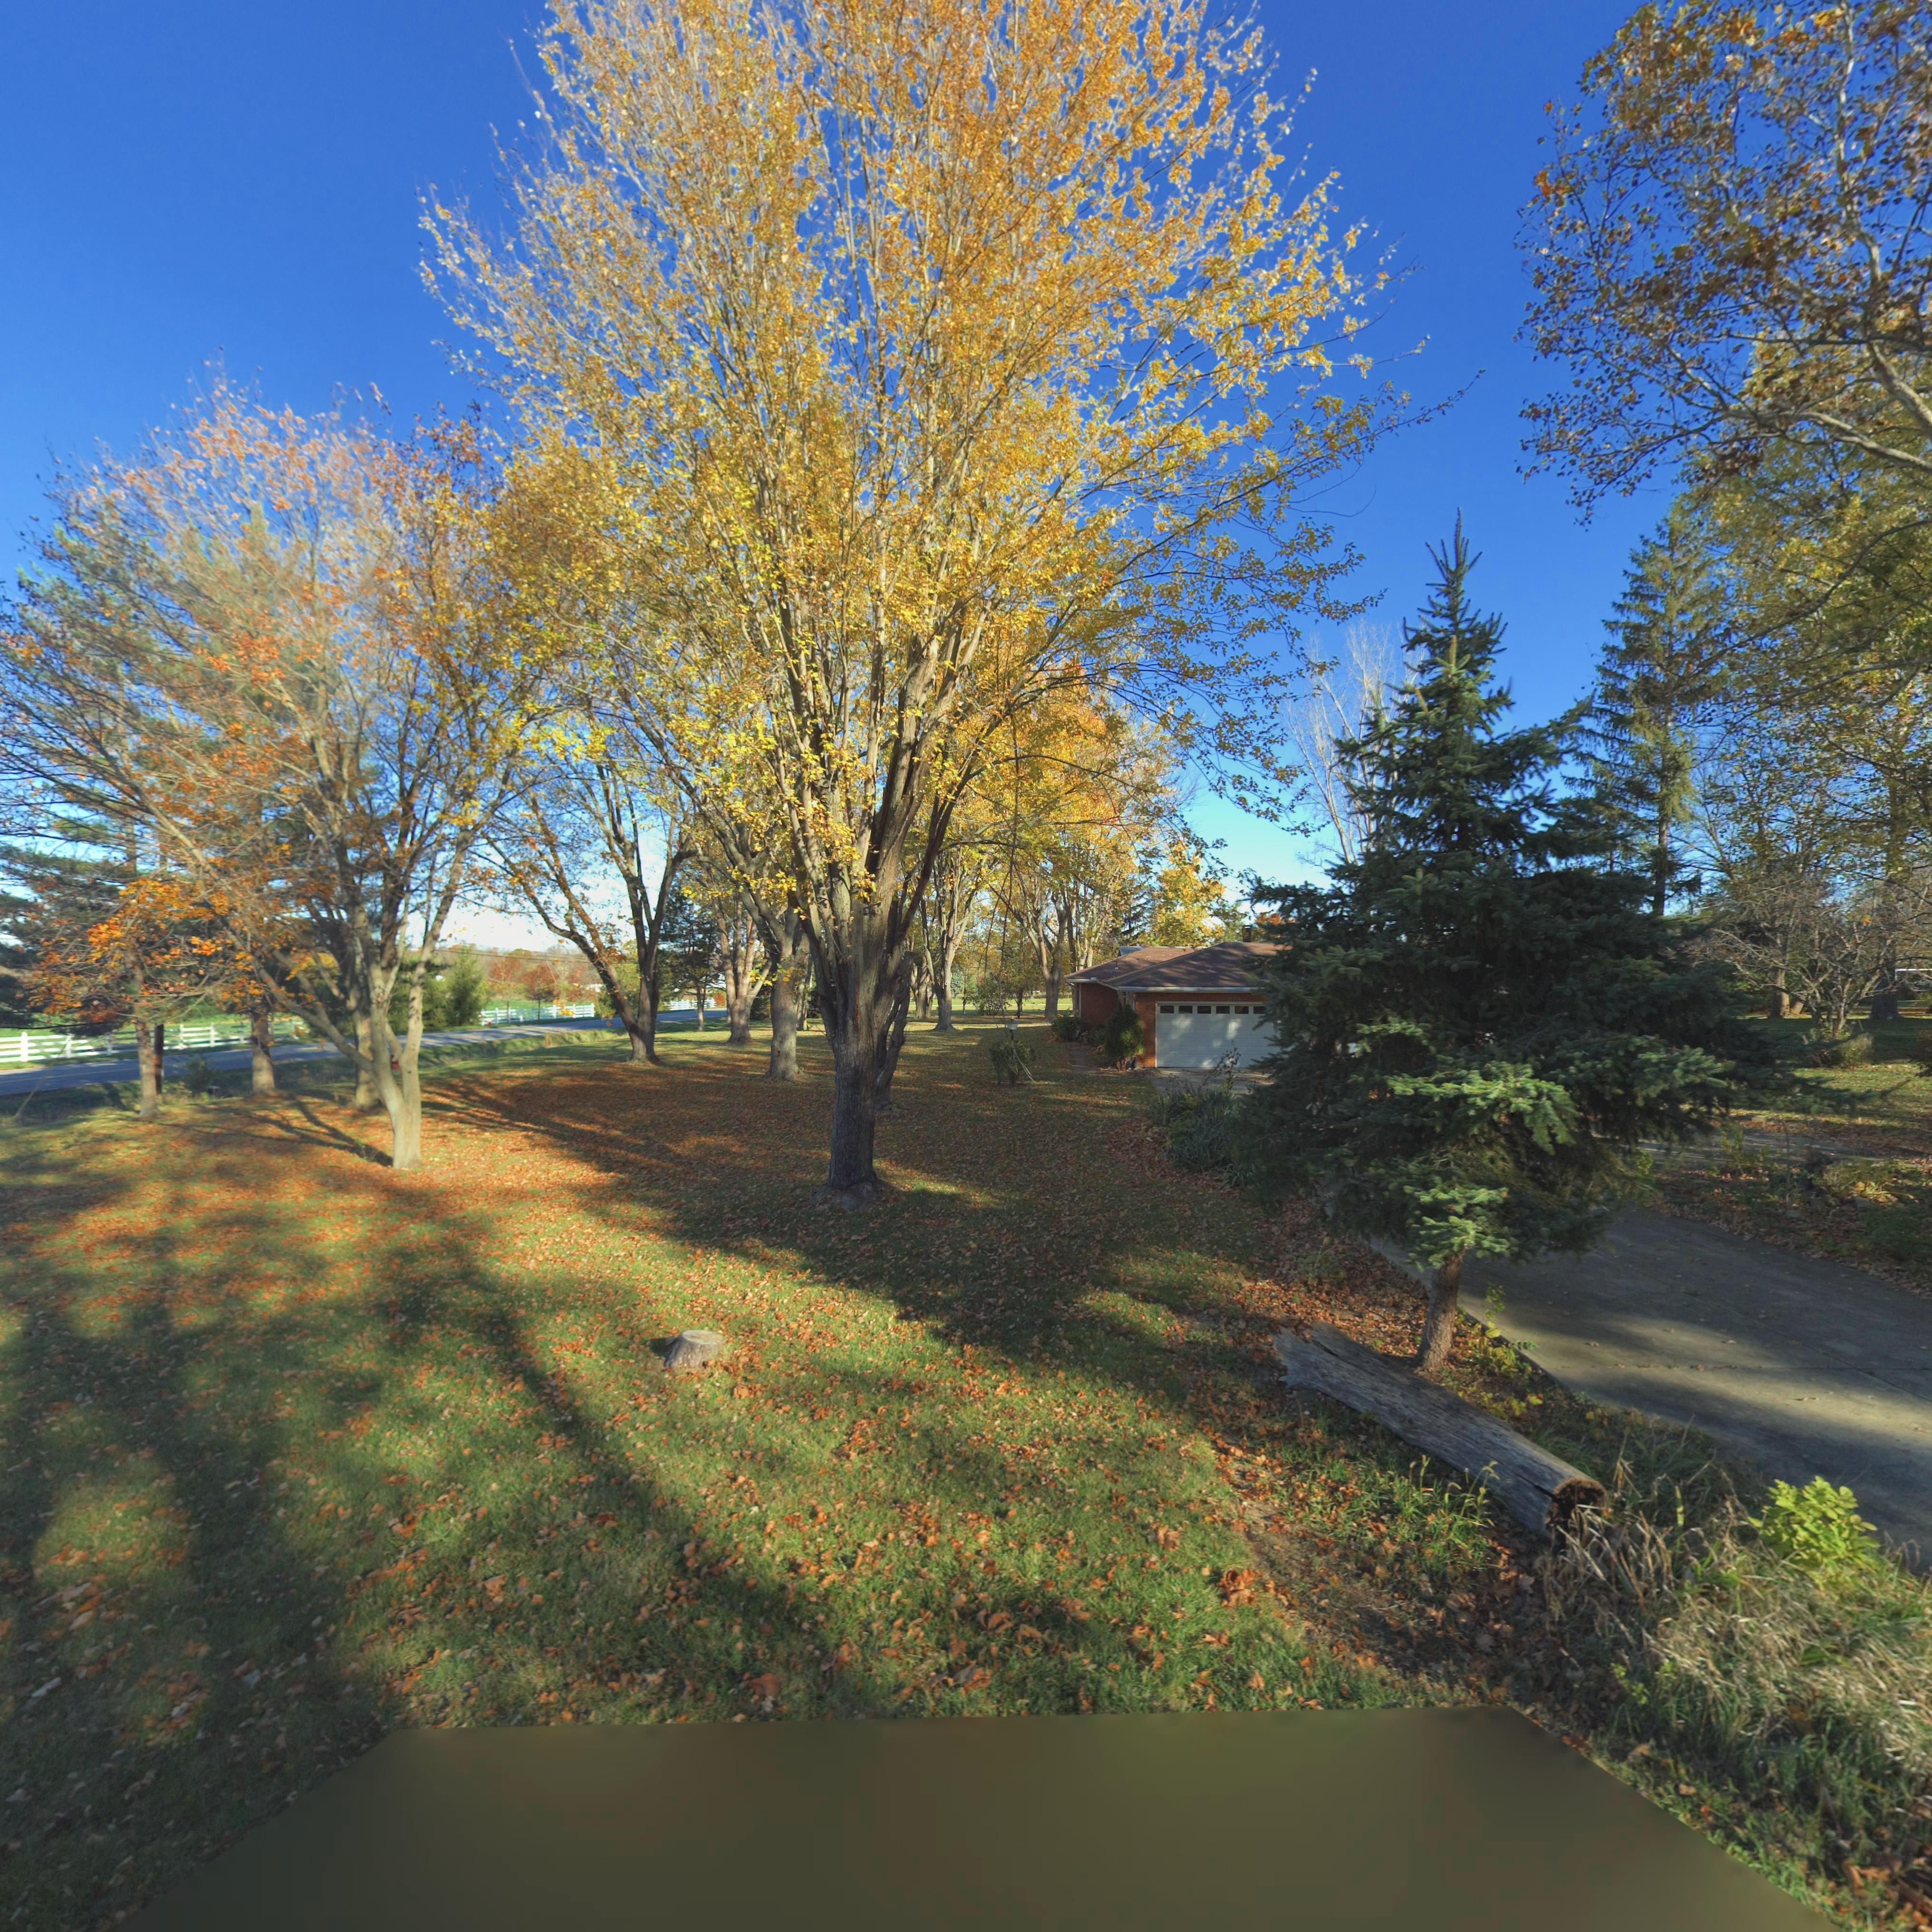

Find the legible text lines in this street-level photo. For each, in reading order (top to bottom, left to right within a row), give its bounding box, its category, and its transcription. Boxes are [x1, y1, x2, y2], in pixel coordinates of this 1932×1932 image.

[1228, 996, 1240, 1002] StreetNumber: *02*